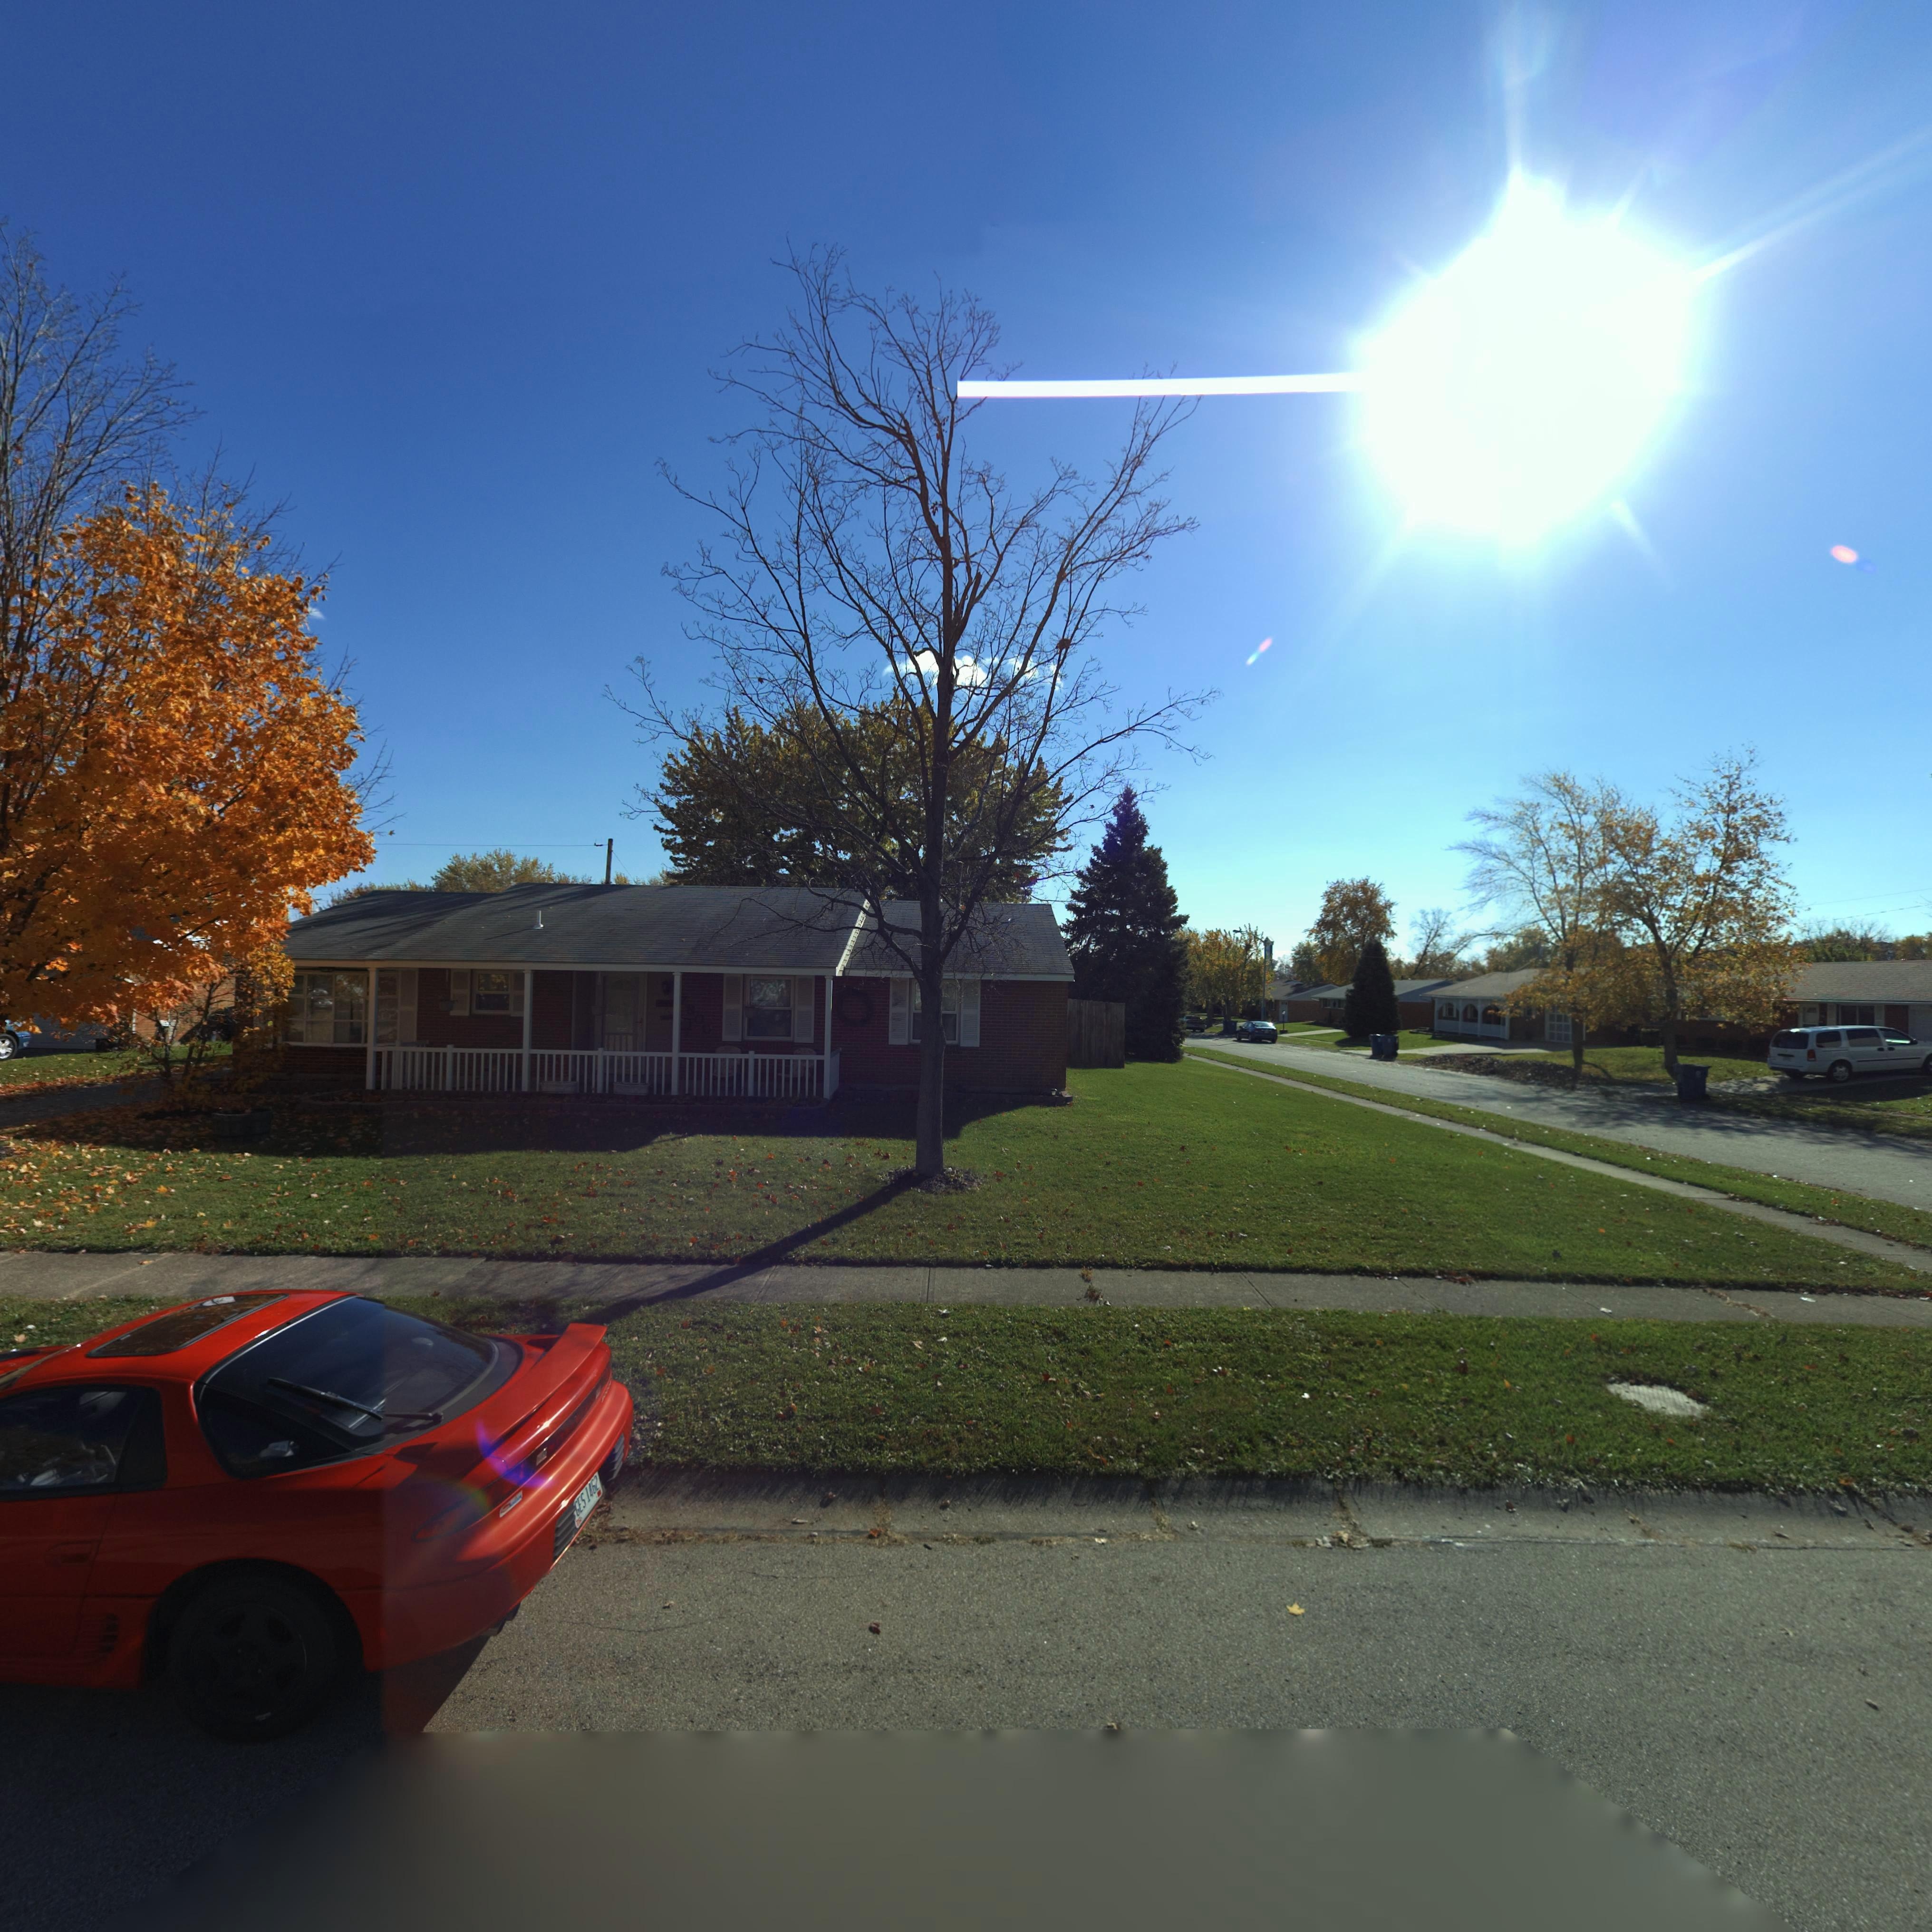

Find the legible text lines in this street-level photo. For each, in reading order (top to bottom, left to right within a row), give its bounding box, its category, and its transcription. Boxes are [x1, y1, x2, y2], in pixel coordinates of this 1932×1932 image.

[680, 995, 714, 1035] StreetNumber: 7800